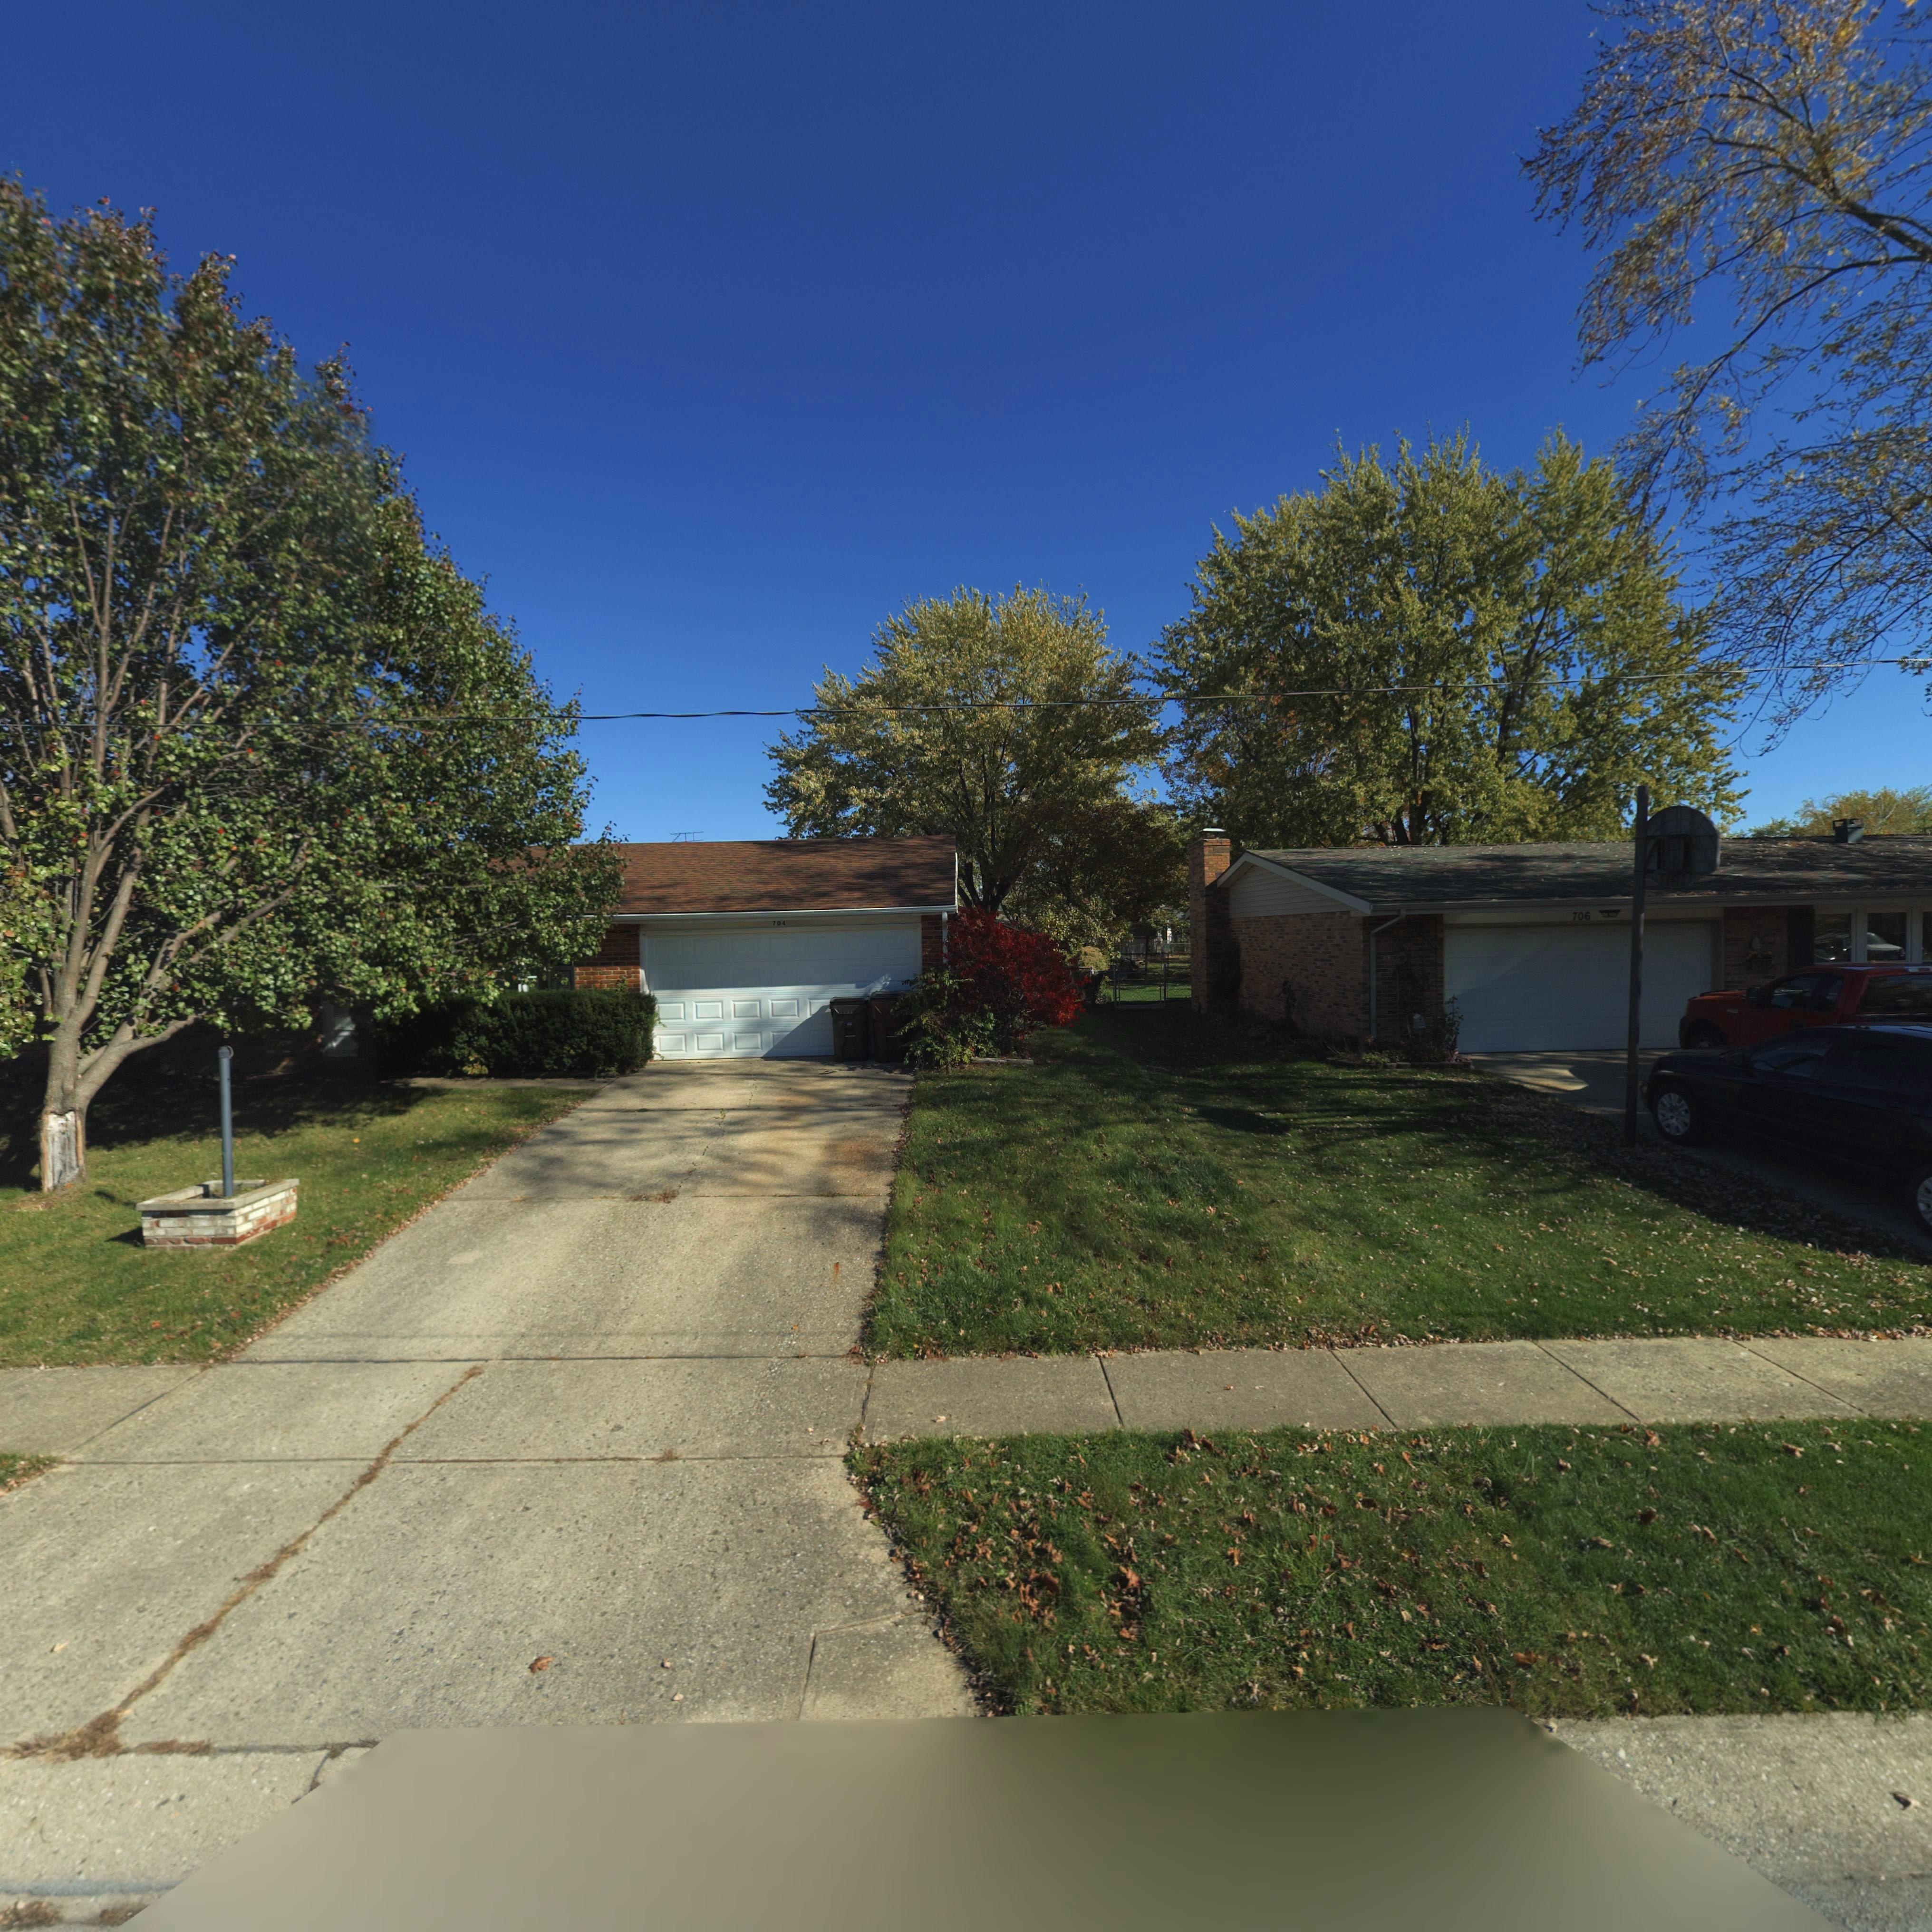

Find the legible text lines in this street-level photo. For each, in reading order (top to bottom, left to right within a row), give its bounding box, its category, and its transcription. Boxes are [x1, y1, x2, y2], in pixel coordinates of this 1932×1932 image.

[1572, 911, 1590, 921] StreetNumber: 706
[772, 920, 785, 926] StreetNumber: 704